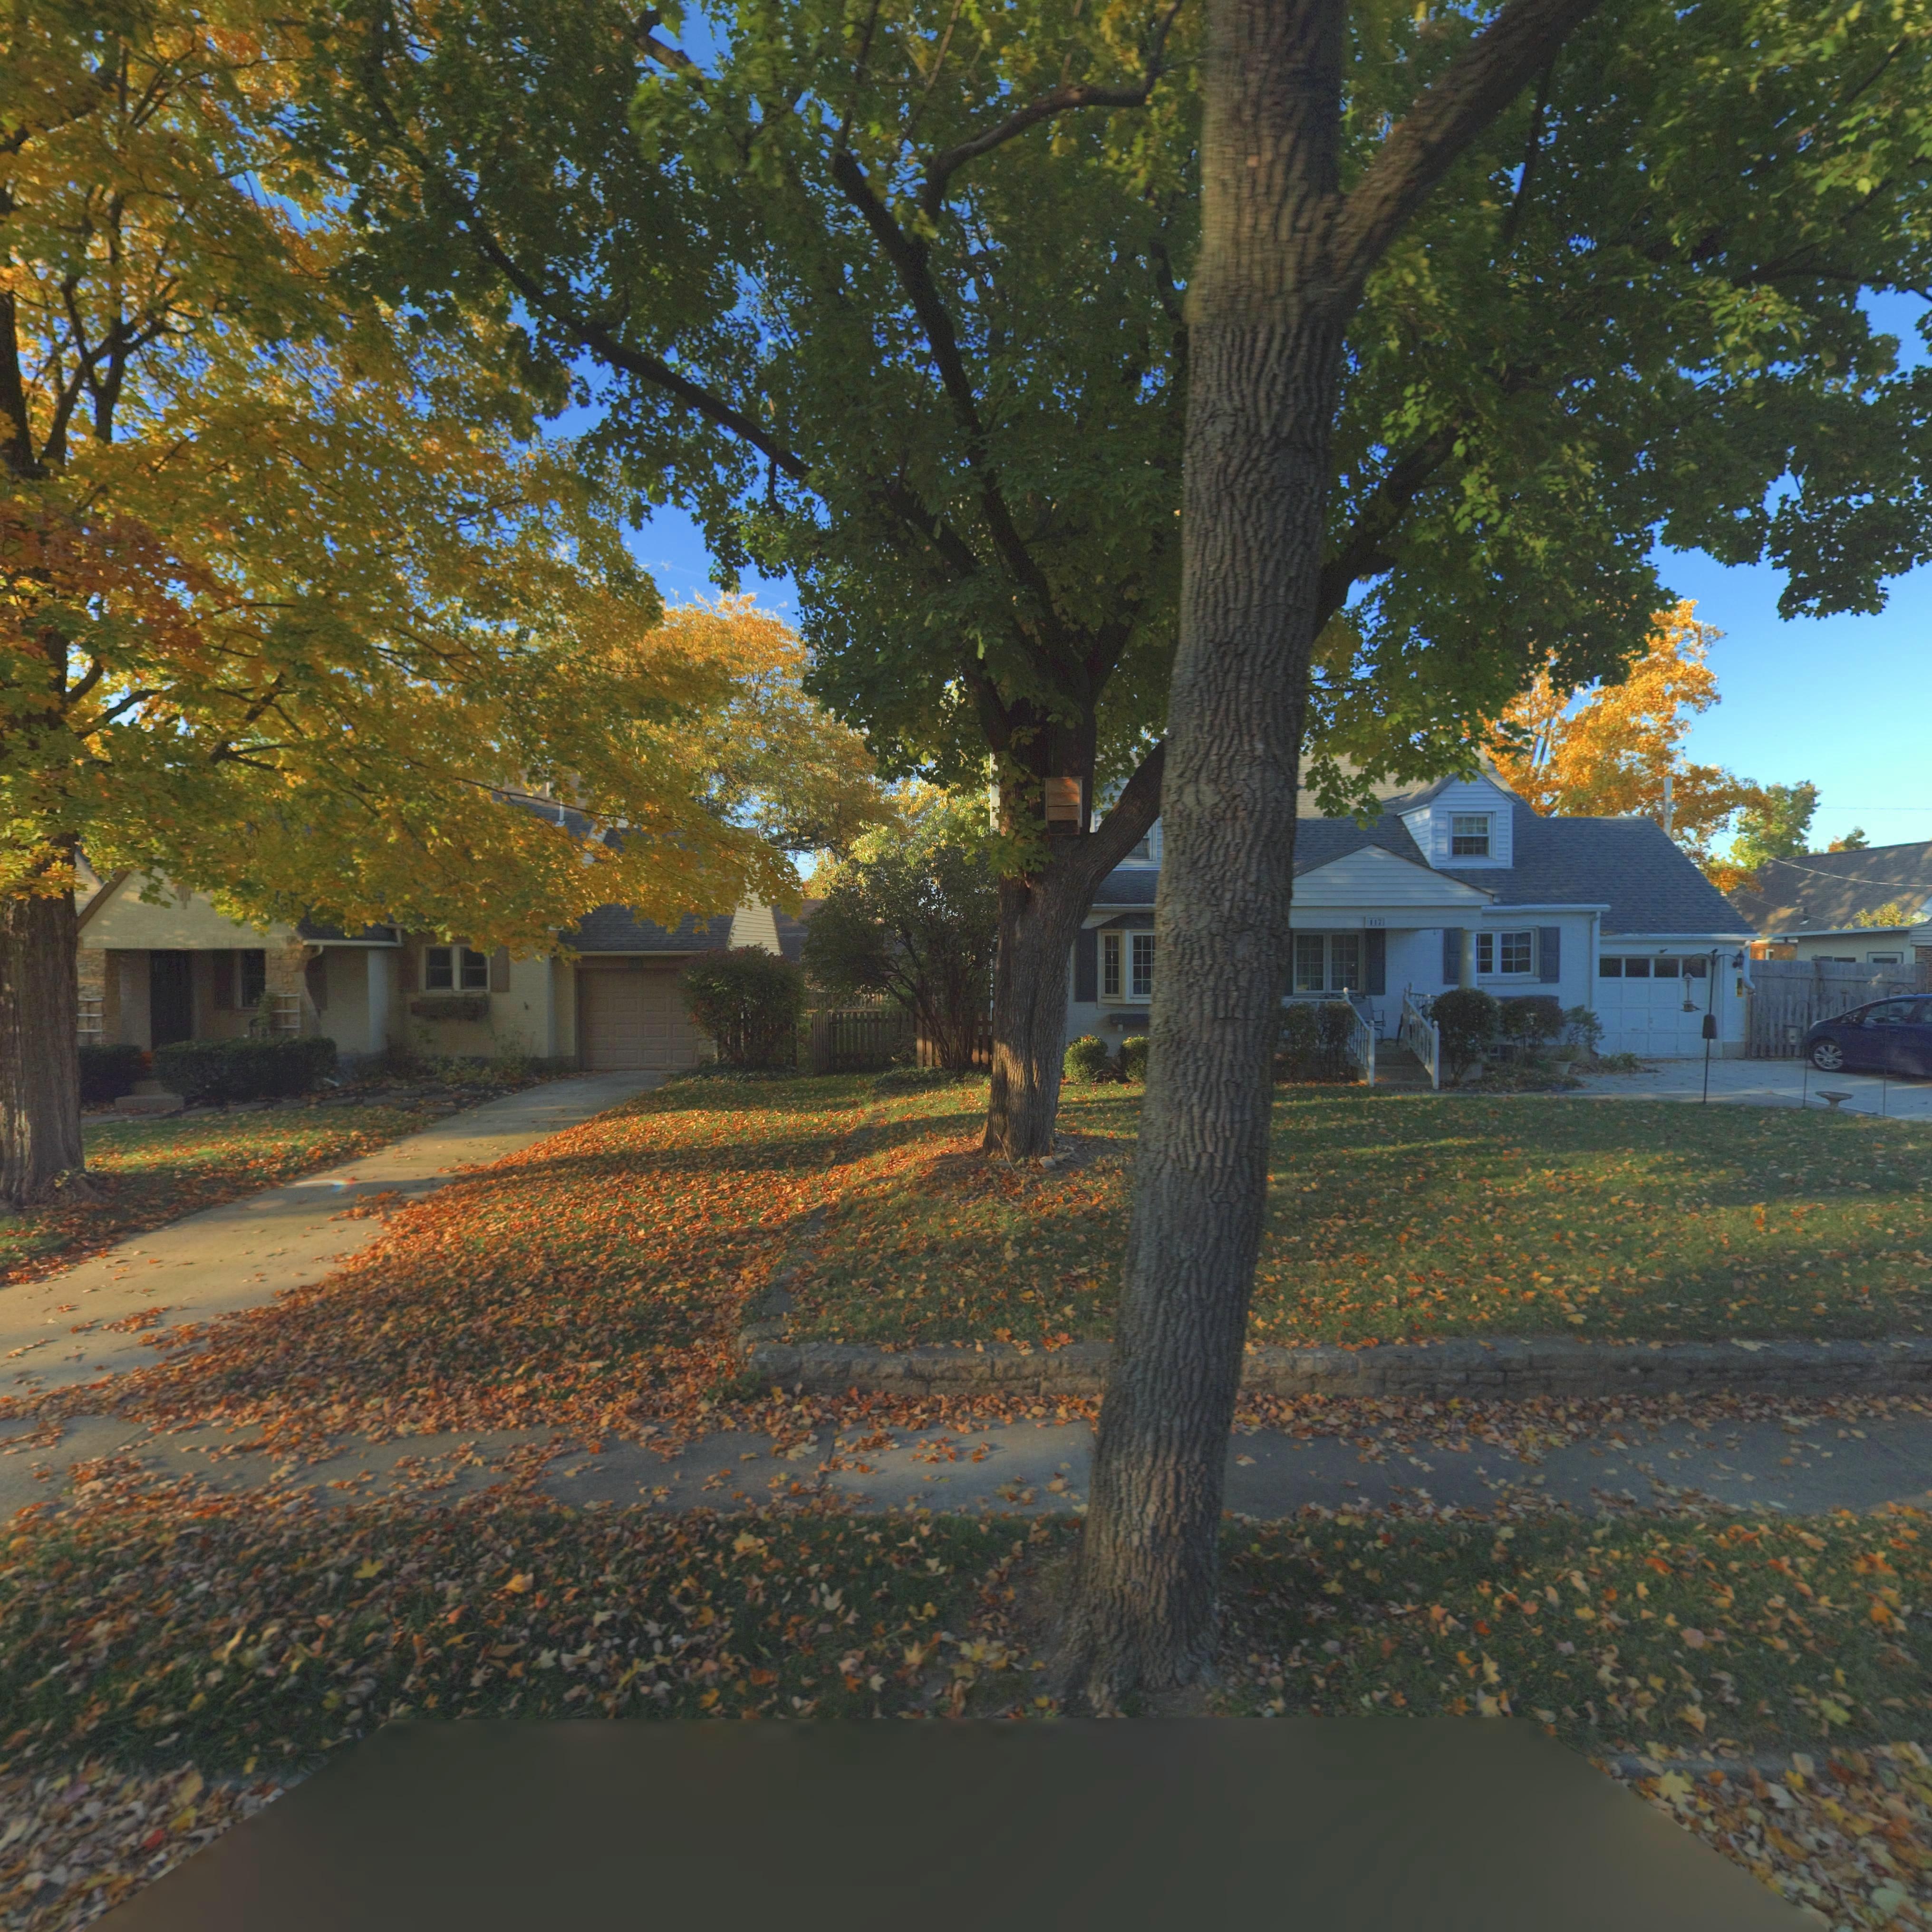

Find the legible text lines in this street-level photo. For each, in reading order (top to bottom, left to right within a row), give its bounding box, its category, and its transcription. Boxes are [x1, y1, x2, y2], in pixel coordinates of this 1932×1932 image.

[1369, 918, 1383, 926] StreetNumber: 117